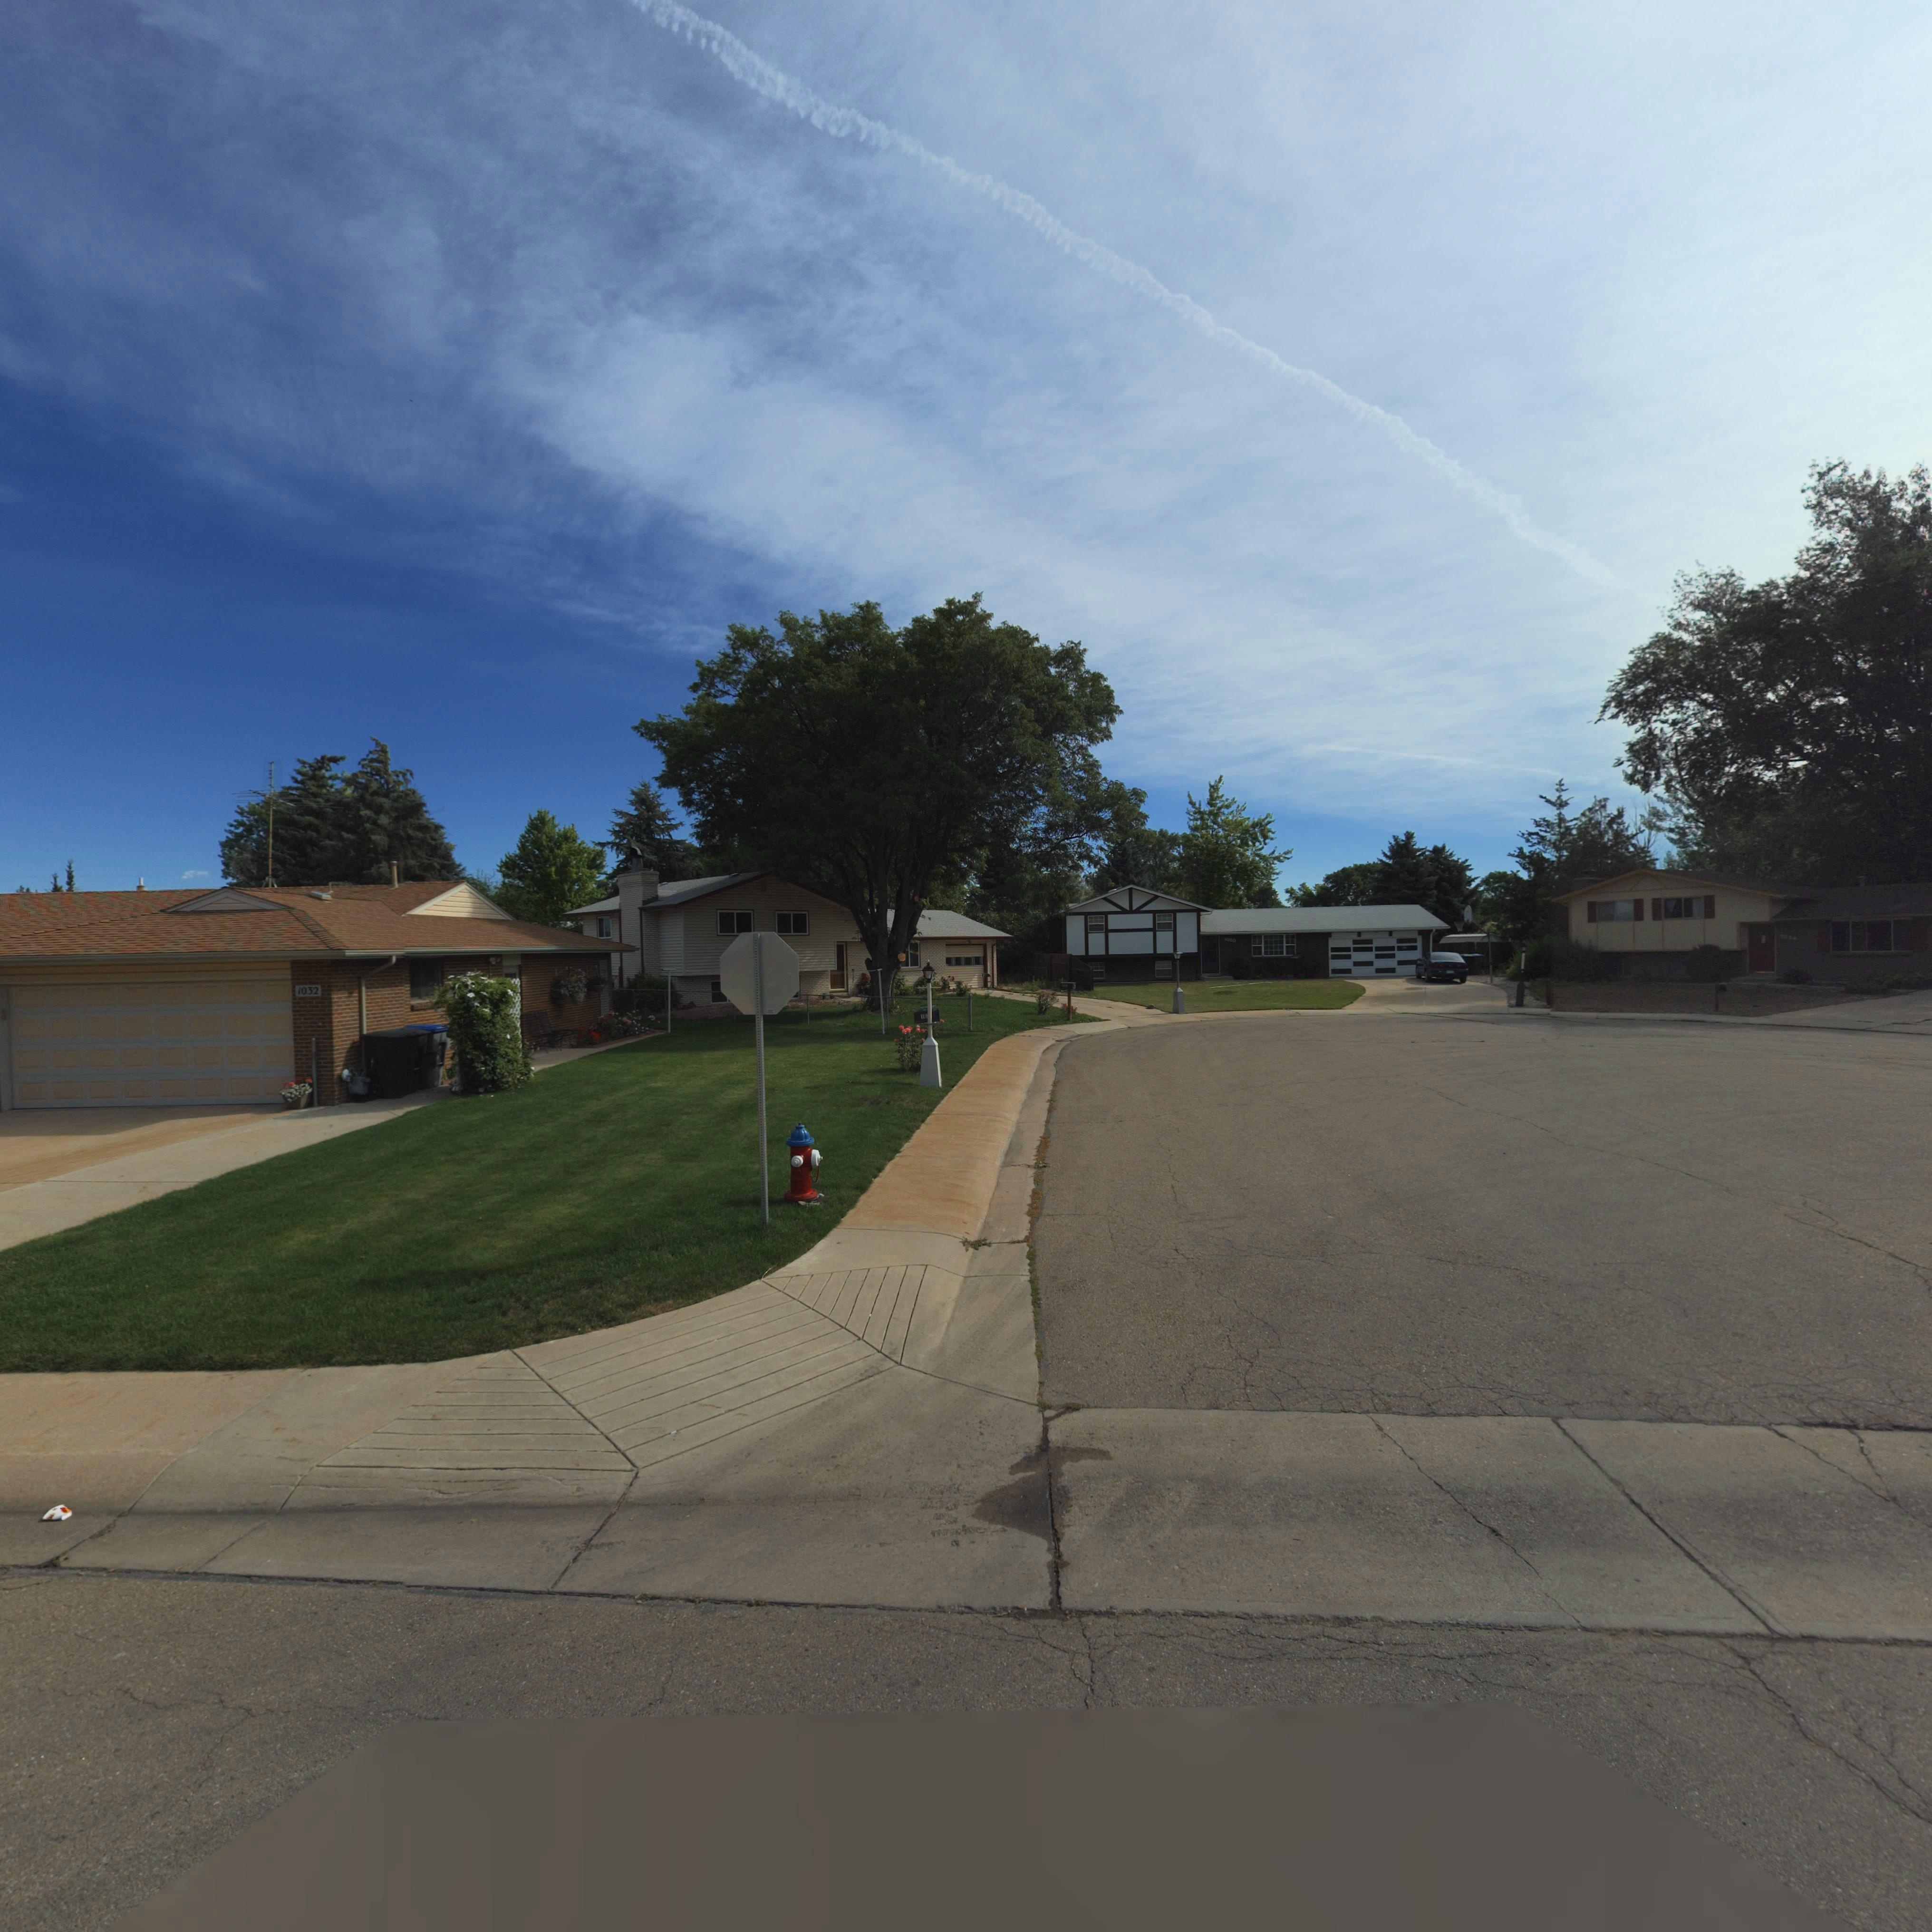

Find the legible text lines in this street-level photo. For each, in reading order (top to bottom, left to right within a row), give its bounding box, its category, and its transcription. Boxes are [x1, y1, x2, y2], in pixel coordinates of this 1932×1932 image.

[1224, 937, 1236, 943] StreetNumber: 1020
[1780, 933, 1797, 941] StreetNumber: 1014
[297, 986, 319, 995] StreetNumber: 1032
[921, 1013, 929, 1019] StreetNumber: 10*